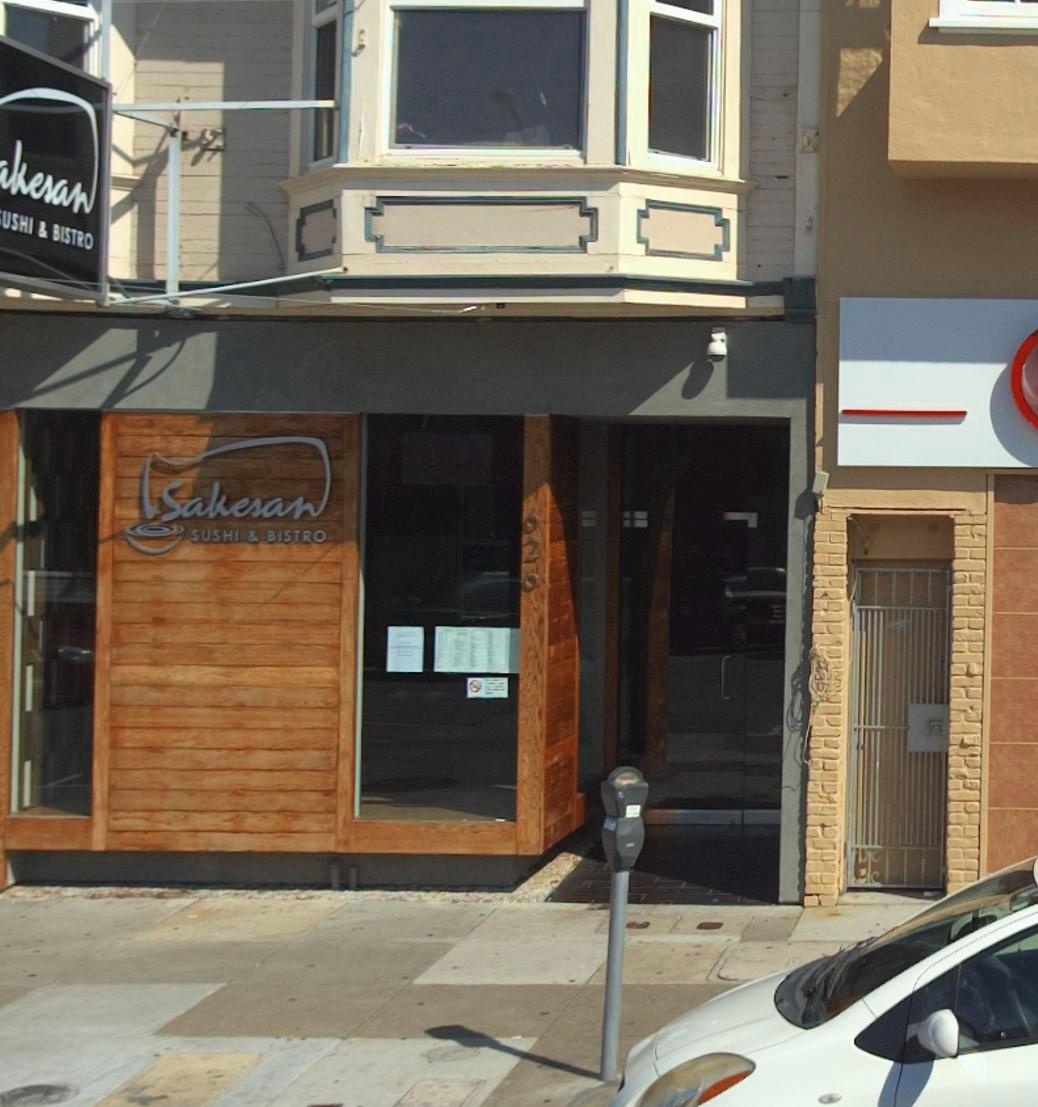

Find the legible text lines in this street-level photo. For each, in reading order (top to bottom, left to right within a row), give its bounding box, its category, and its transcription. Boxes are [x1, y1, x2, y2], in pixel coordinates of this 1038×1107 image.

[10, 138, 95, 220] BusinessName: kesan
[0, 207, 96, 253] None: USHI & BISTRO
[159, 479, 318, 523] BusinessName: Sakesan
[190, 527, 329, 544] None: SUSHI & BISTRO
[520, 505, 541, 593] StreetNumber: 626